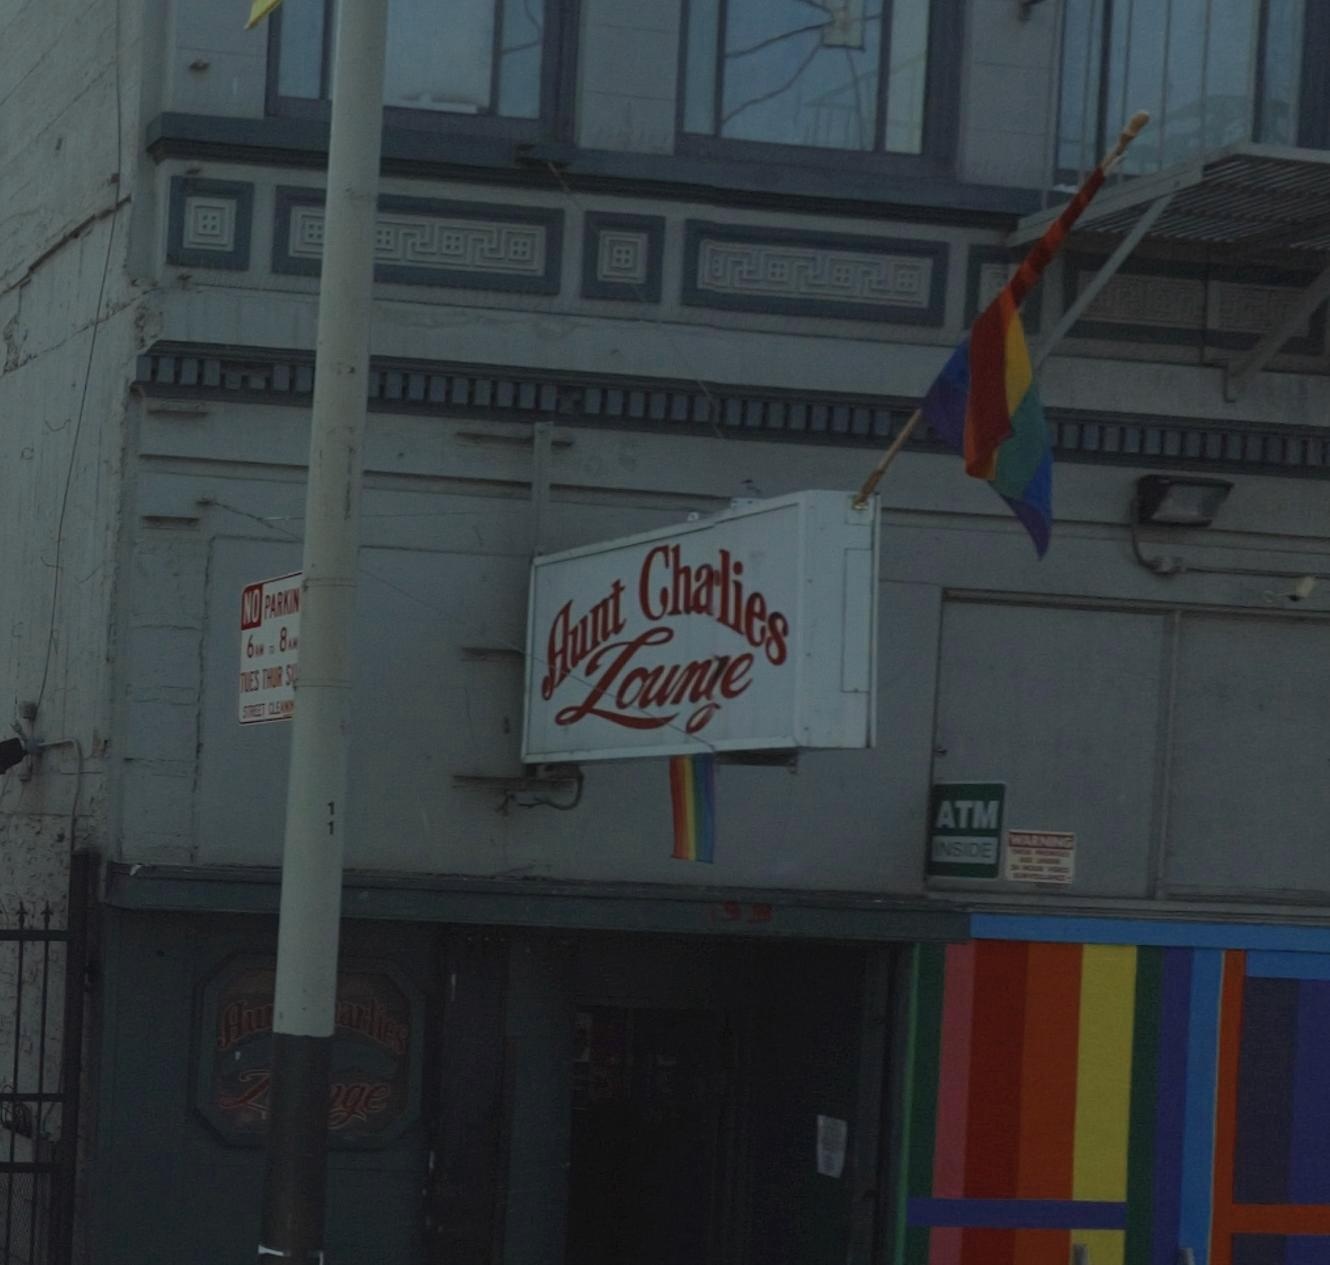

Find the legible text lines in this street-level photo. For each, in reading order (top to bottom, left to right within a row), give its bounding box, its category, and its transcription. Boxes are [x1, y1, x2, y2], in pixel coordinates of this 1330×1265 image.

[241, 584, 302, 628] None: NO PARKIN
[538, 542, 792, 701] BusinessName: Aunt Charlie's
[240, 623, 301, 663] None: 6AM ** 8AM
[239, 661, 293, 696] None: TUES THUR S
[547, 622, 757, 740] BusinessName: Lounge
[241, 697, 291, 722] None: STREET CLEAN
[321, 795, 338, 842] None: 11
[931, 796, 1003, 837] None: ATM
[926, 837, 997, 867] None: INSIDE
[1008, 831, 1077, 854] None: WARNING
[696, 897, 788, 928] StreetNumber: 133
[214, 994, 417, 1061] BusinessName: Au*arlies
[325, 1080, 392, 1133] BusinessName: ge